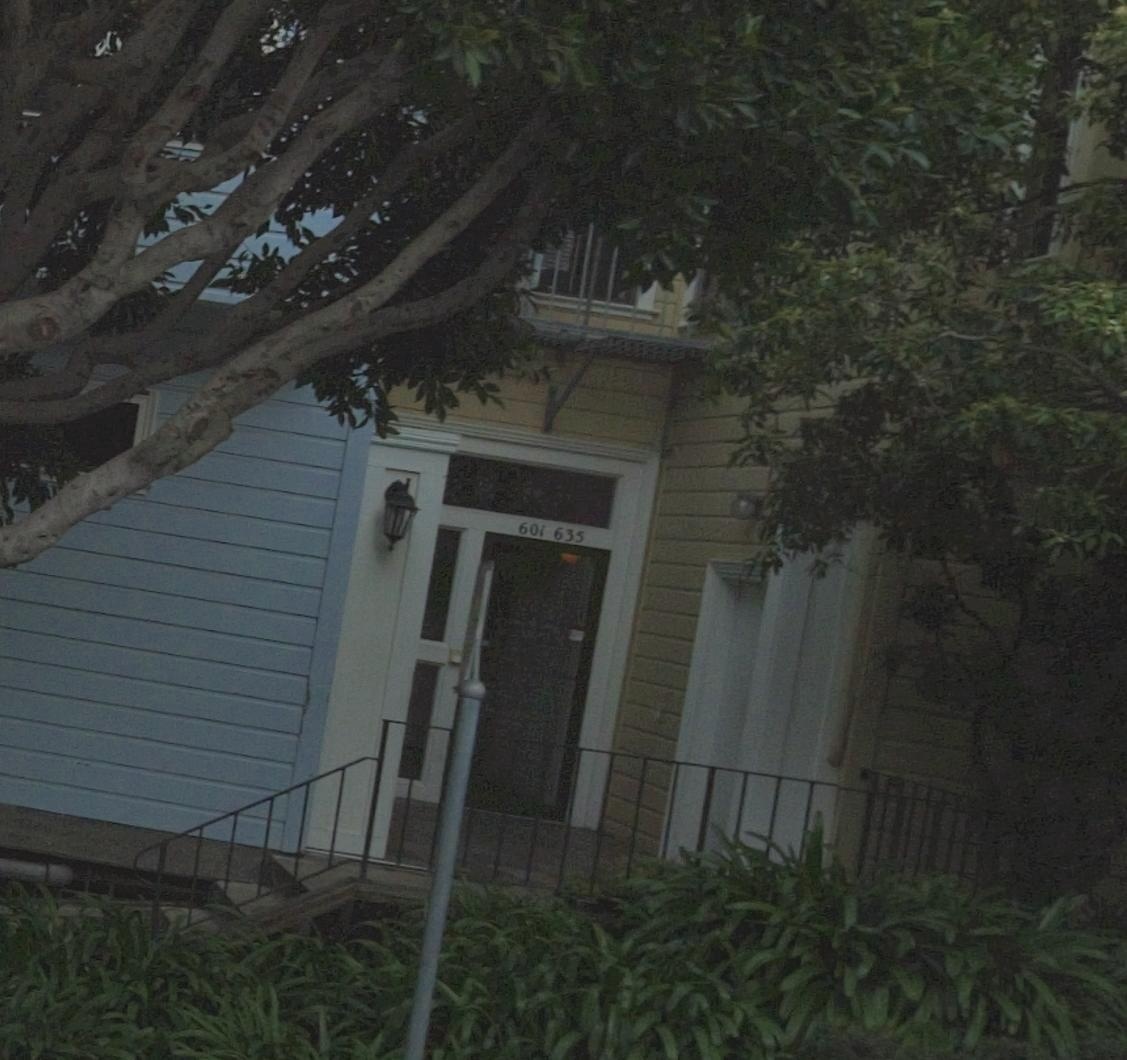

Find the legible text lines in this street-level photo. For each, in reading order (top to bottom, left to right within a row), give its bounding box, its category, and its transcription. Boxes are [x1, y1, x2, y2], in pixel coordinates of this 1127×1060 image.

[518, 520, 547, 538] StreetNumber: 601
[553, 525, 586, 544] StreetNumber: 635